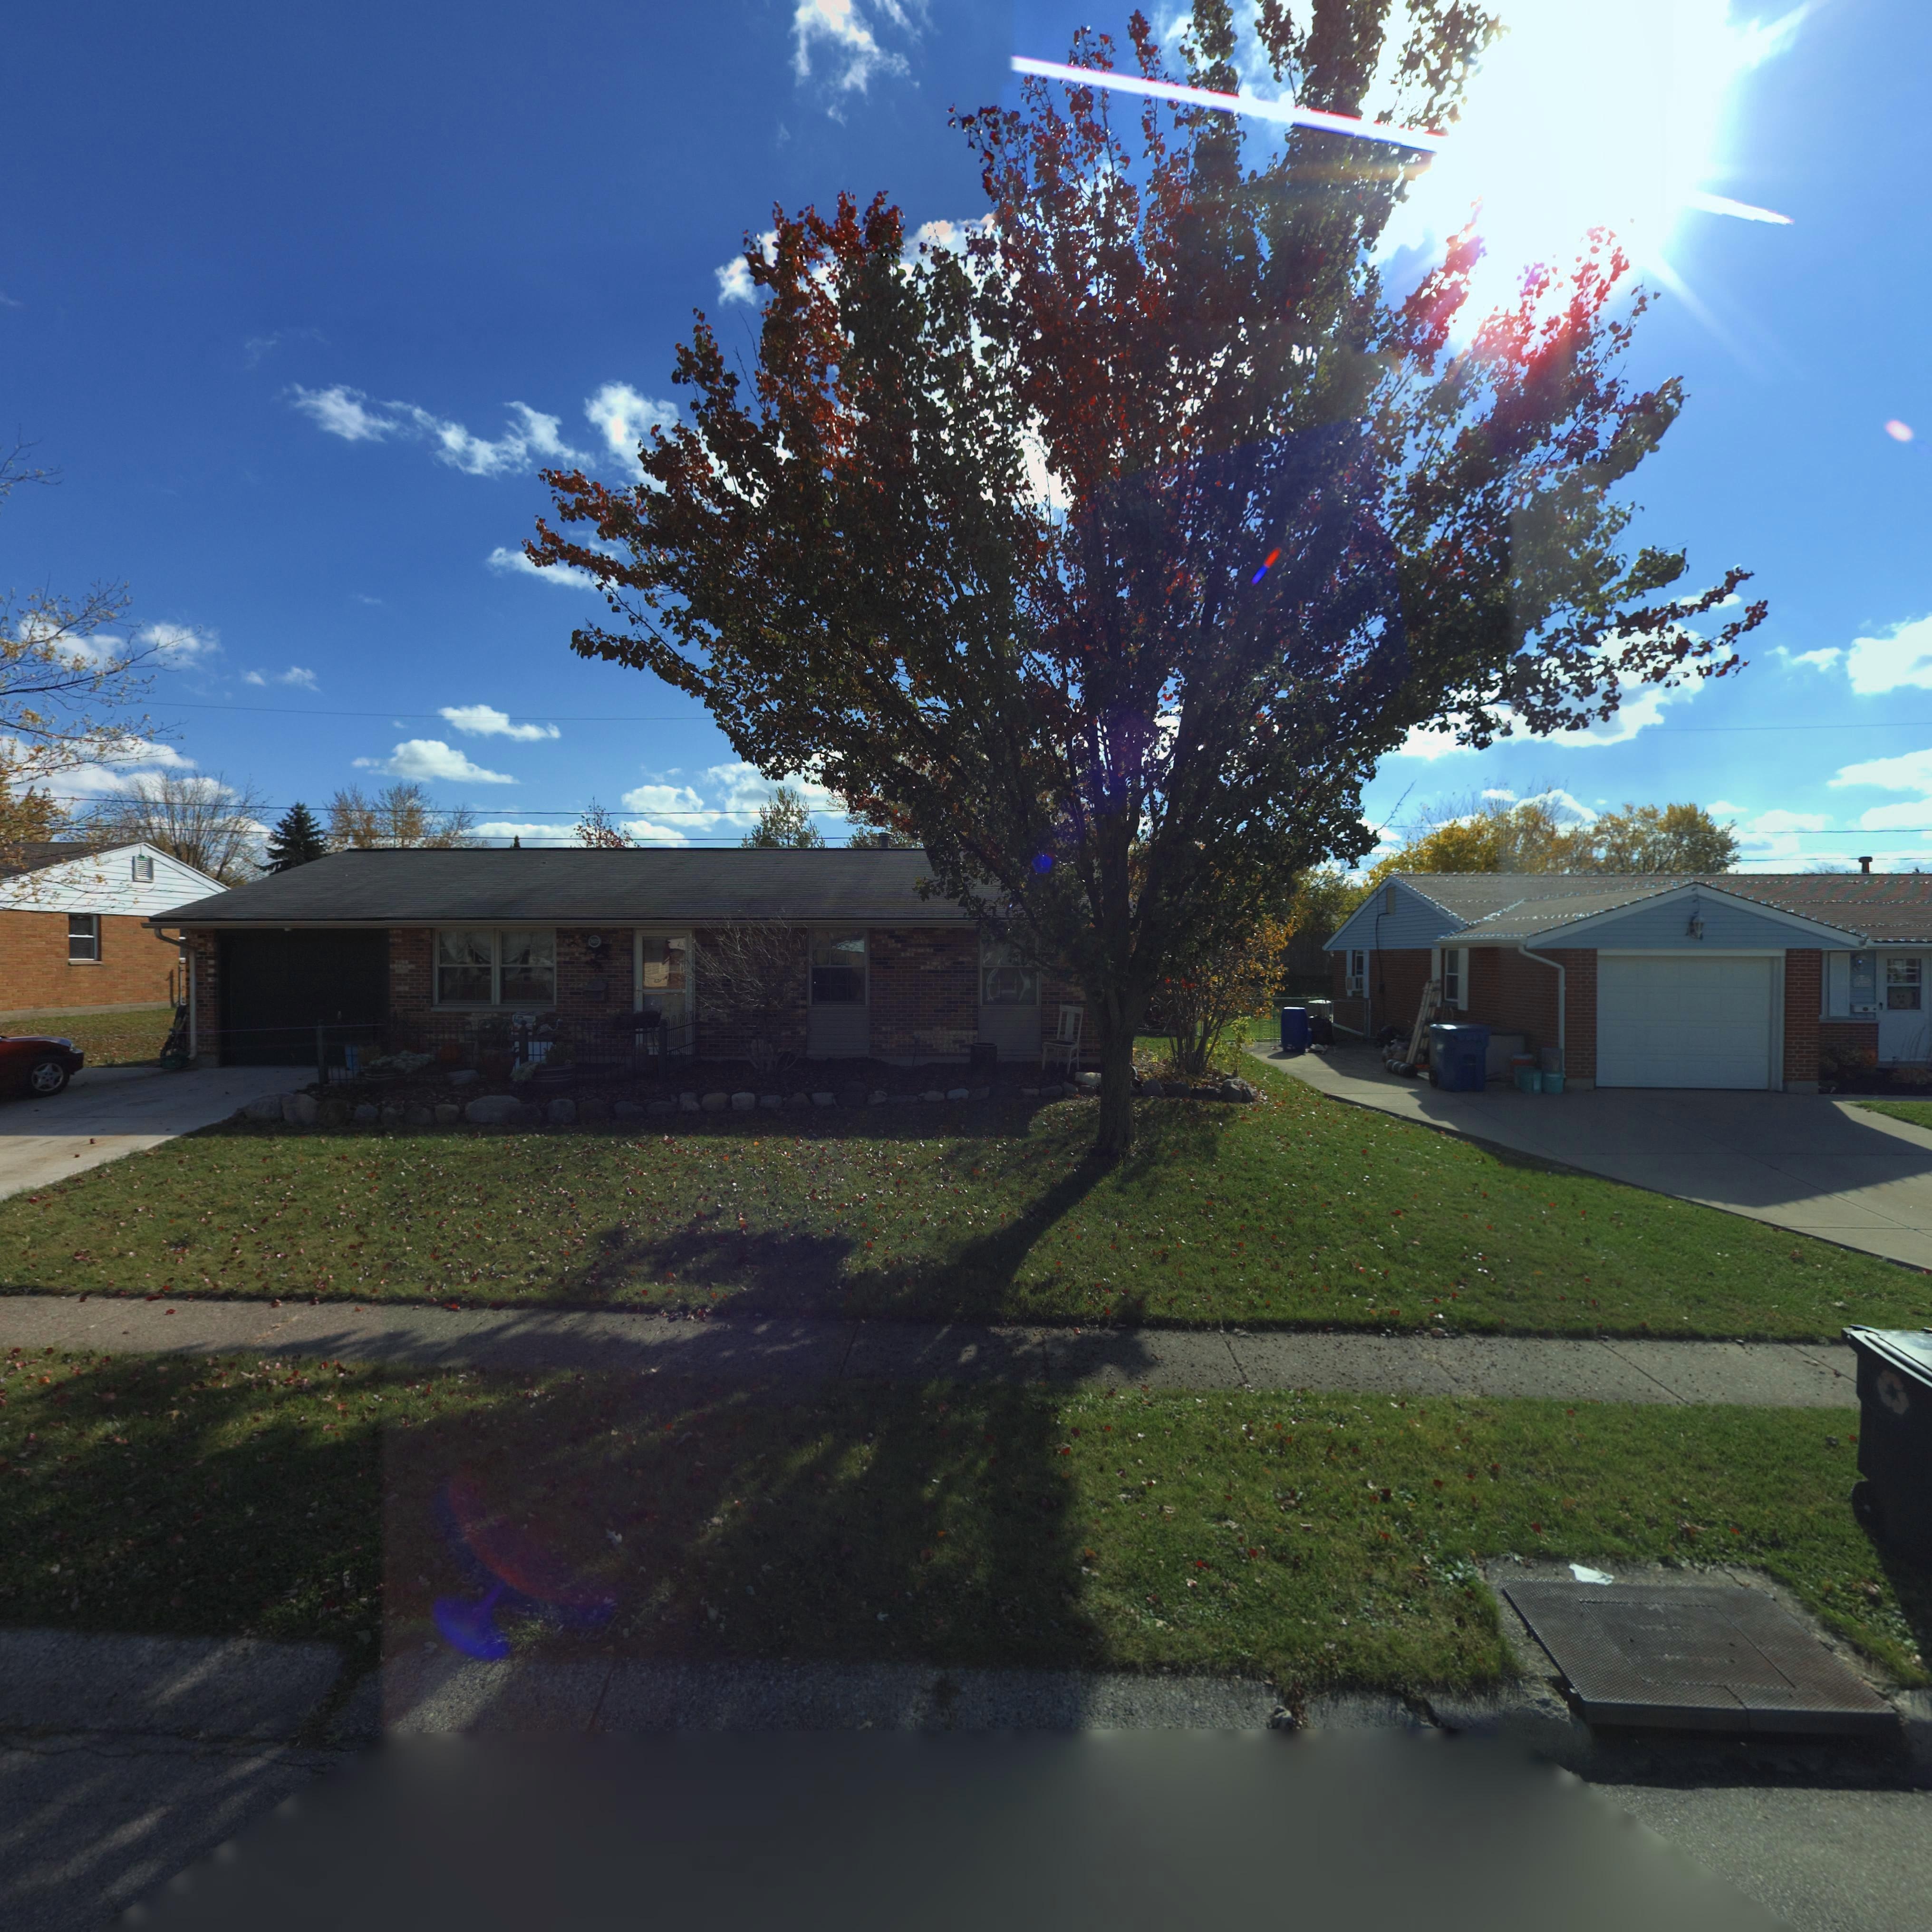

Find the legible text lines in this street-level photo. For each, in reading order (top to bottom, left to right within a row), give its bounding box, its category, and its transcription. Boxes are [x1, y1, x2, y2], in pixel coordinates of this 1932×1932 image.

[589, 938, 600, 944] StreetNumber: 7**2